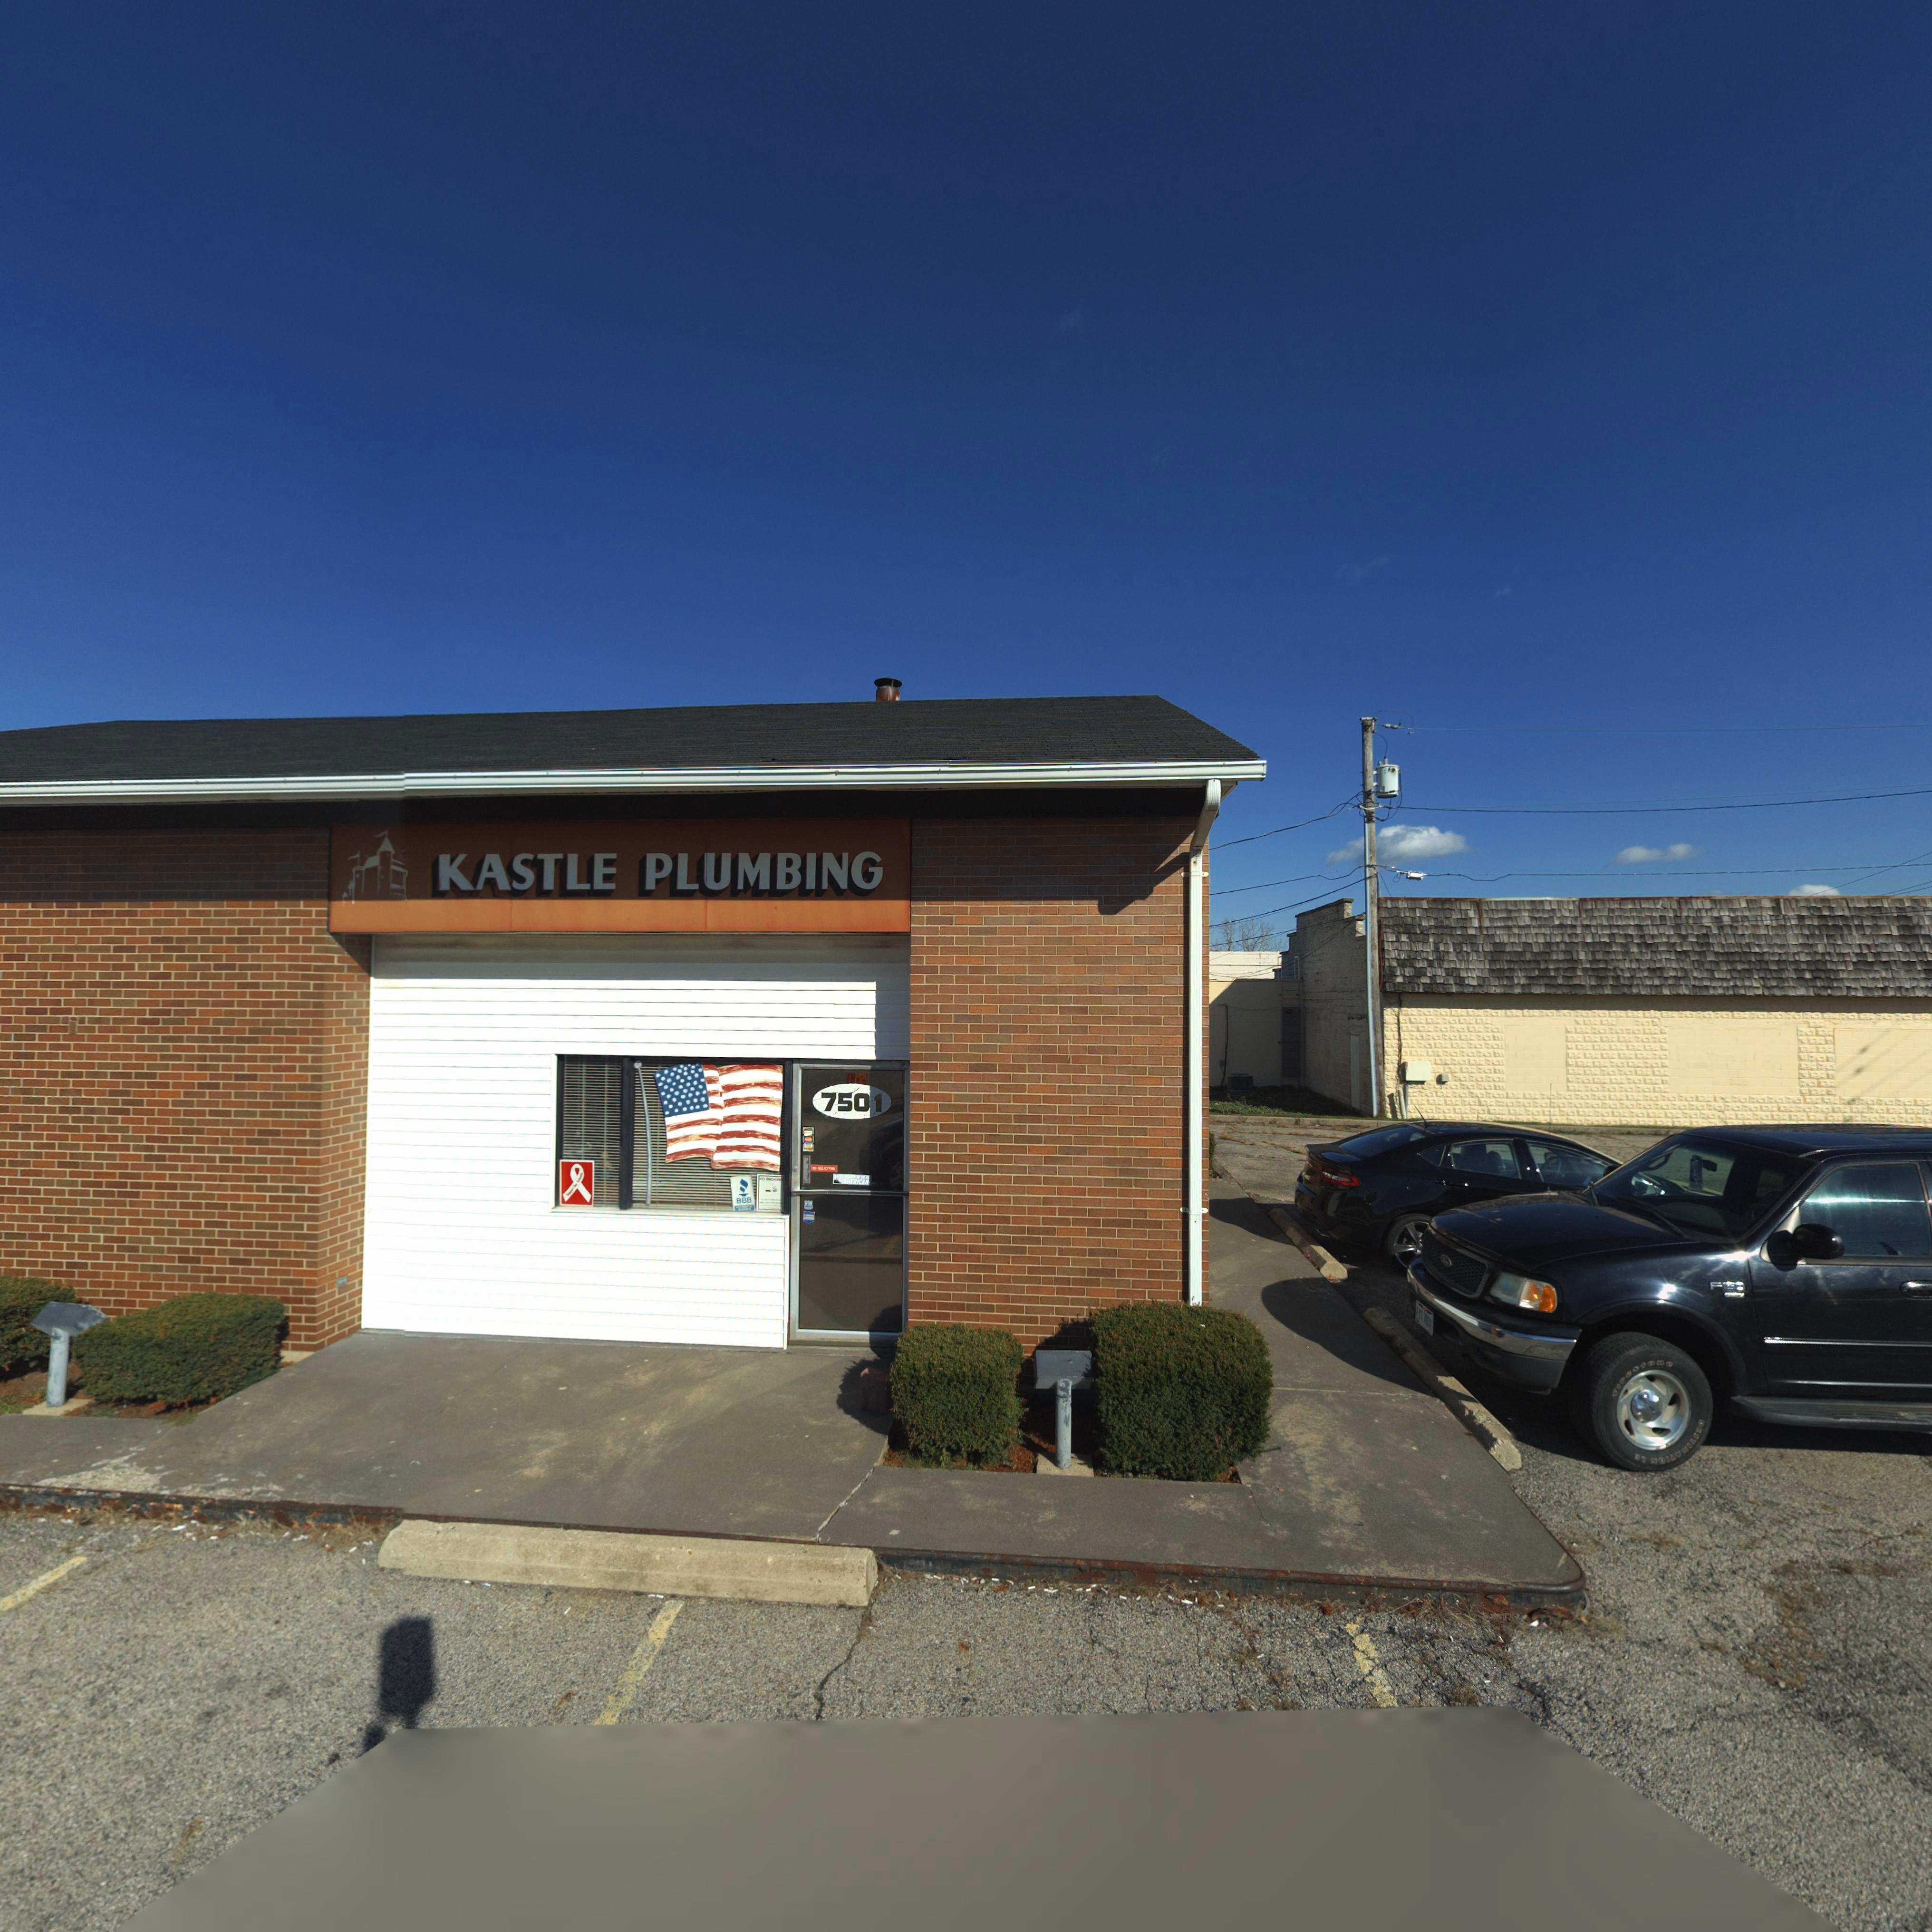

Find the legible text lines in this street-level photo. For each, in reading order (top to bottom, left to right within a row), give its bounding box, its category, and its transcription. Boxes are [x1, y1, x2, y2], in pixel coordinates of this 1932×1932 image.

[436, 850, 885, 892] BusinessName: KASTLE PLUMBING
[821, 1092, 883, 1113] StreetNumber: 7501